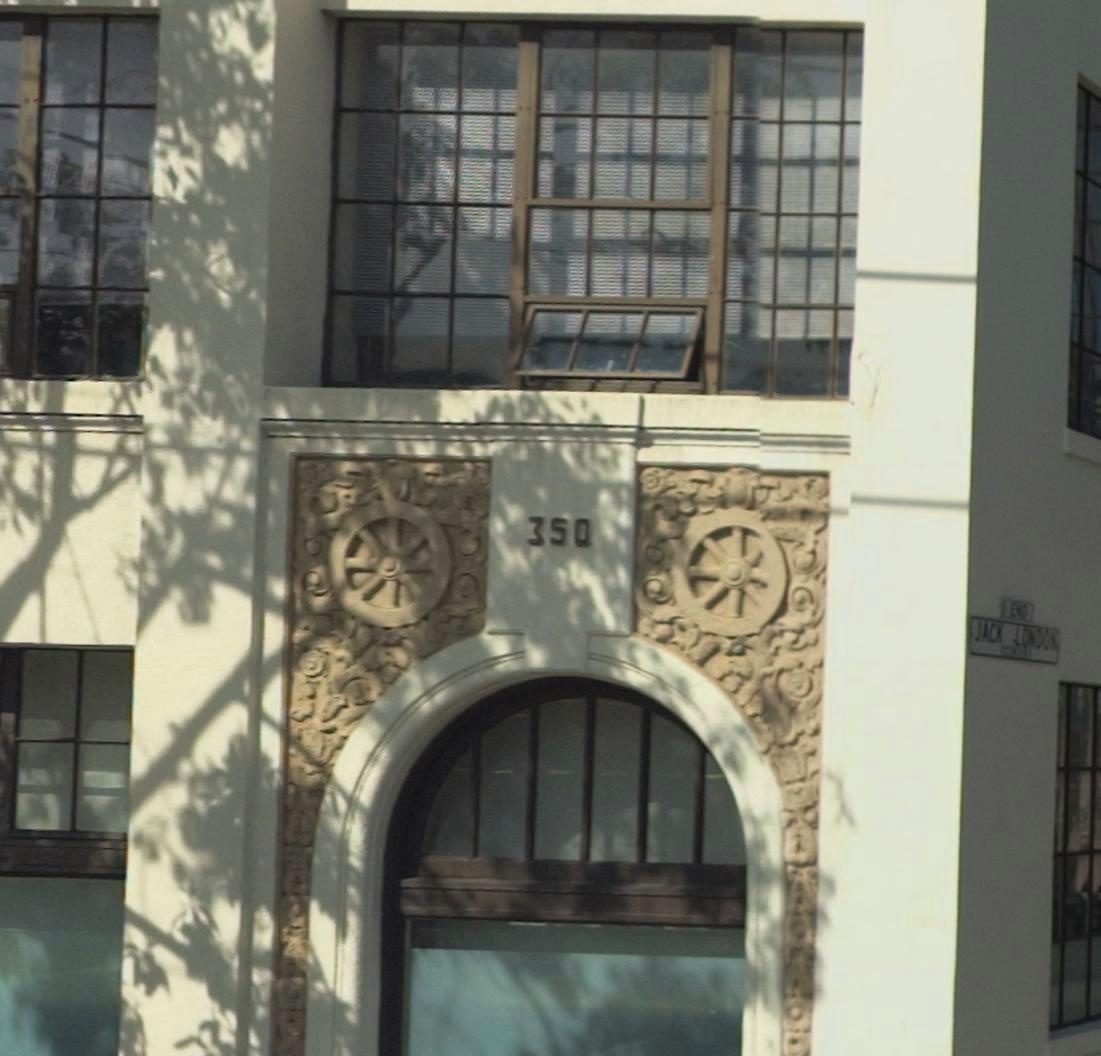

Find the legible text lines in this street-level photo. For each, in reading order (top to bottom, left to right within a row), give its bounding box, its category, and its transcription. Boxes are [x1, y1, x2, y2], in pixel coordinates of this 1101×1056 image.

[522, 512, 597, 551] StreetNumber: 350
[1006, 597, 1032, 623] None: END
[970, 617, 1064, 655] StreetName: JACK LONDON